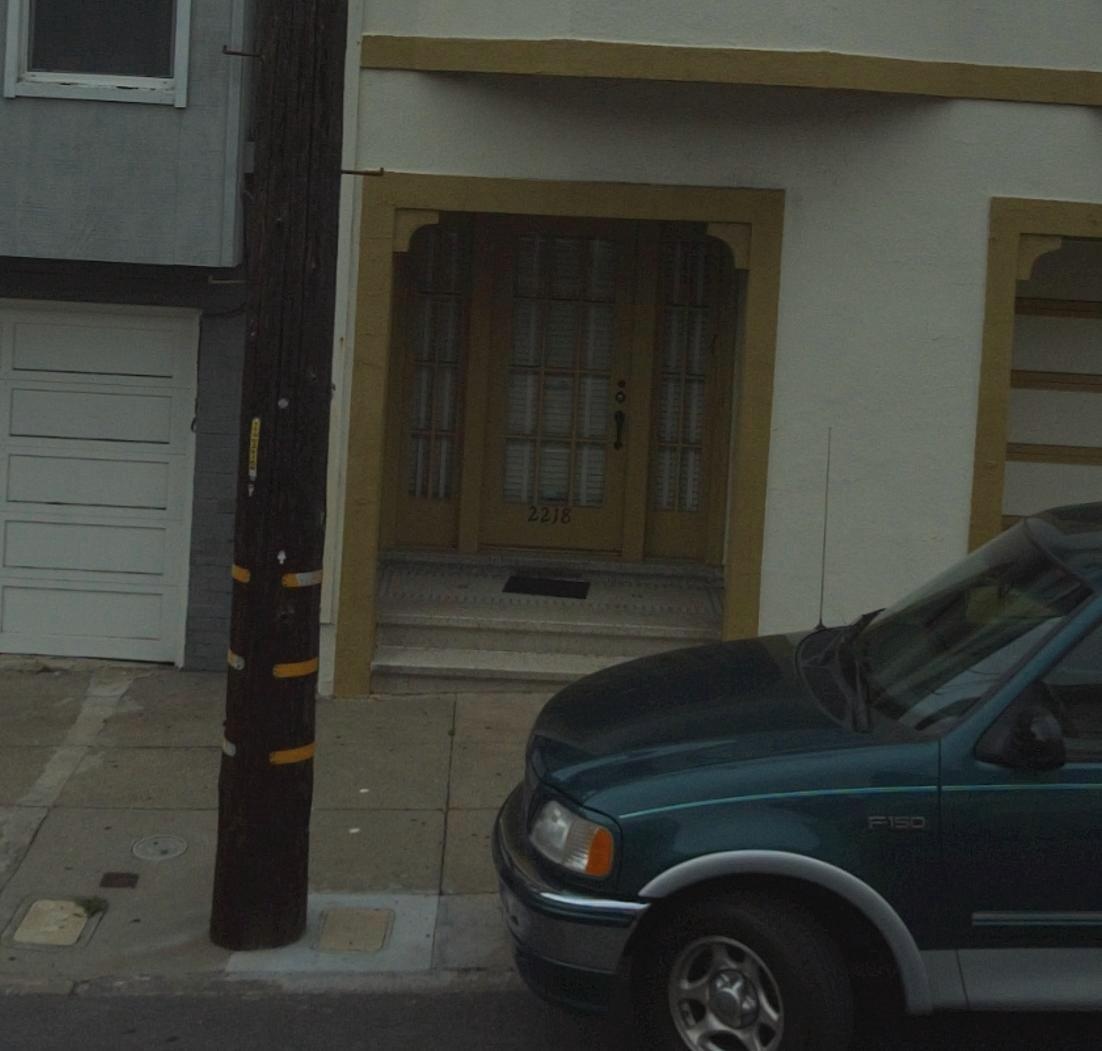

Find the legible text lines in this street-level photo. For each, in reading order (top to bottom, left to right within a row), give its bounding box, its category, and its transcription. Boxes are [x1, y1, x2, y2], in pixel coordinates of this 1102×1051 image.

[526, 504, 574, 526] StreetNumber: 2218
[867, 814, 926, 831] None: F150